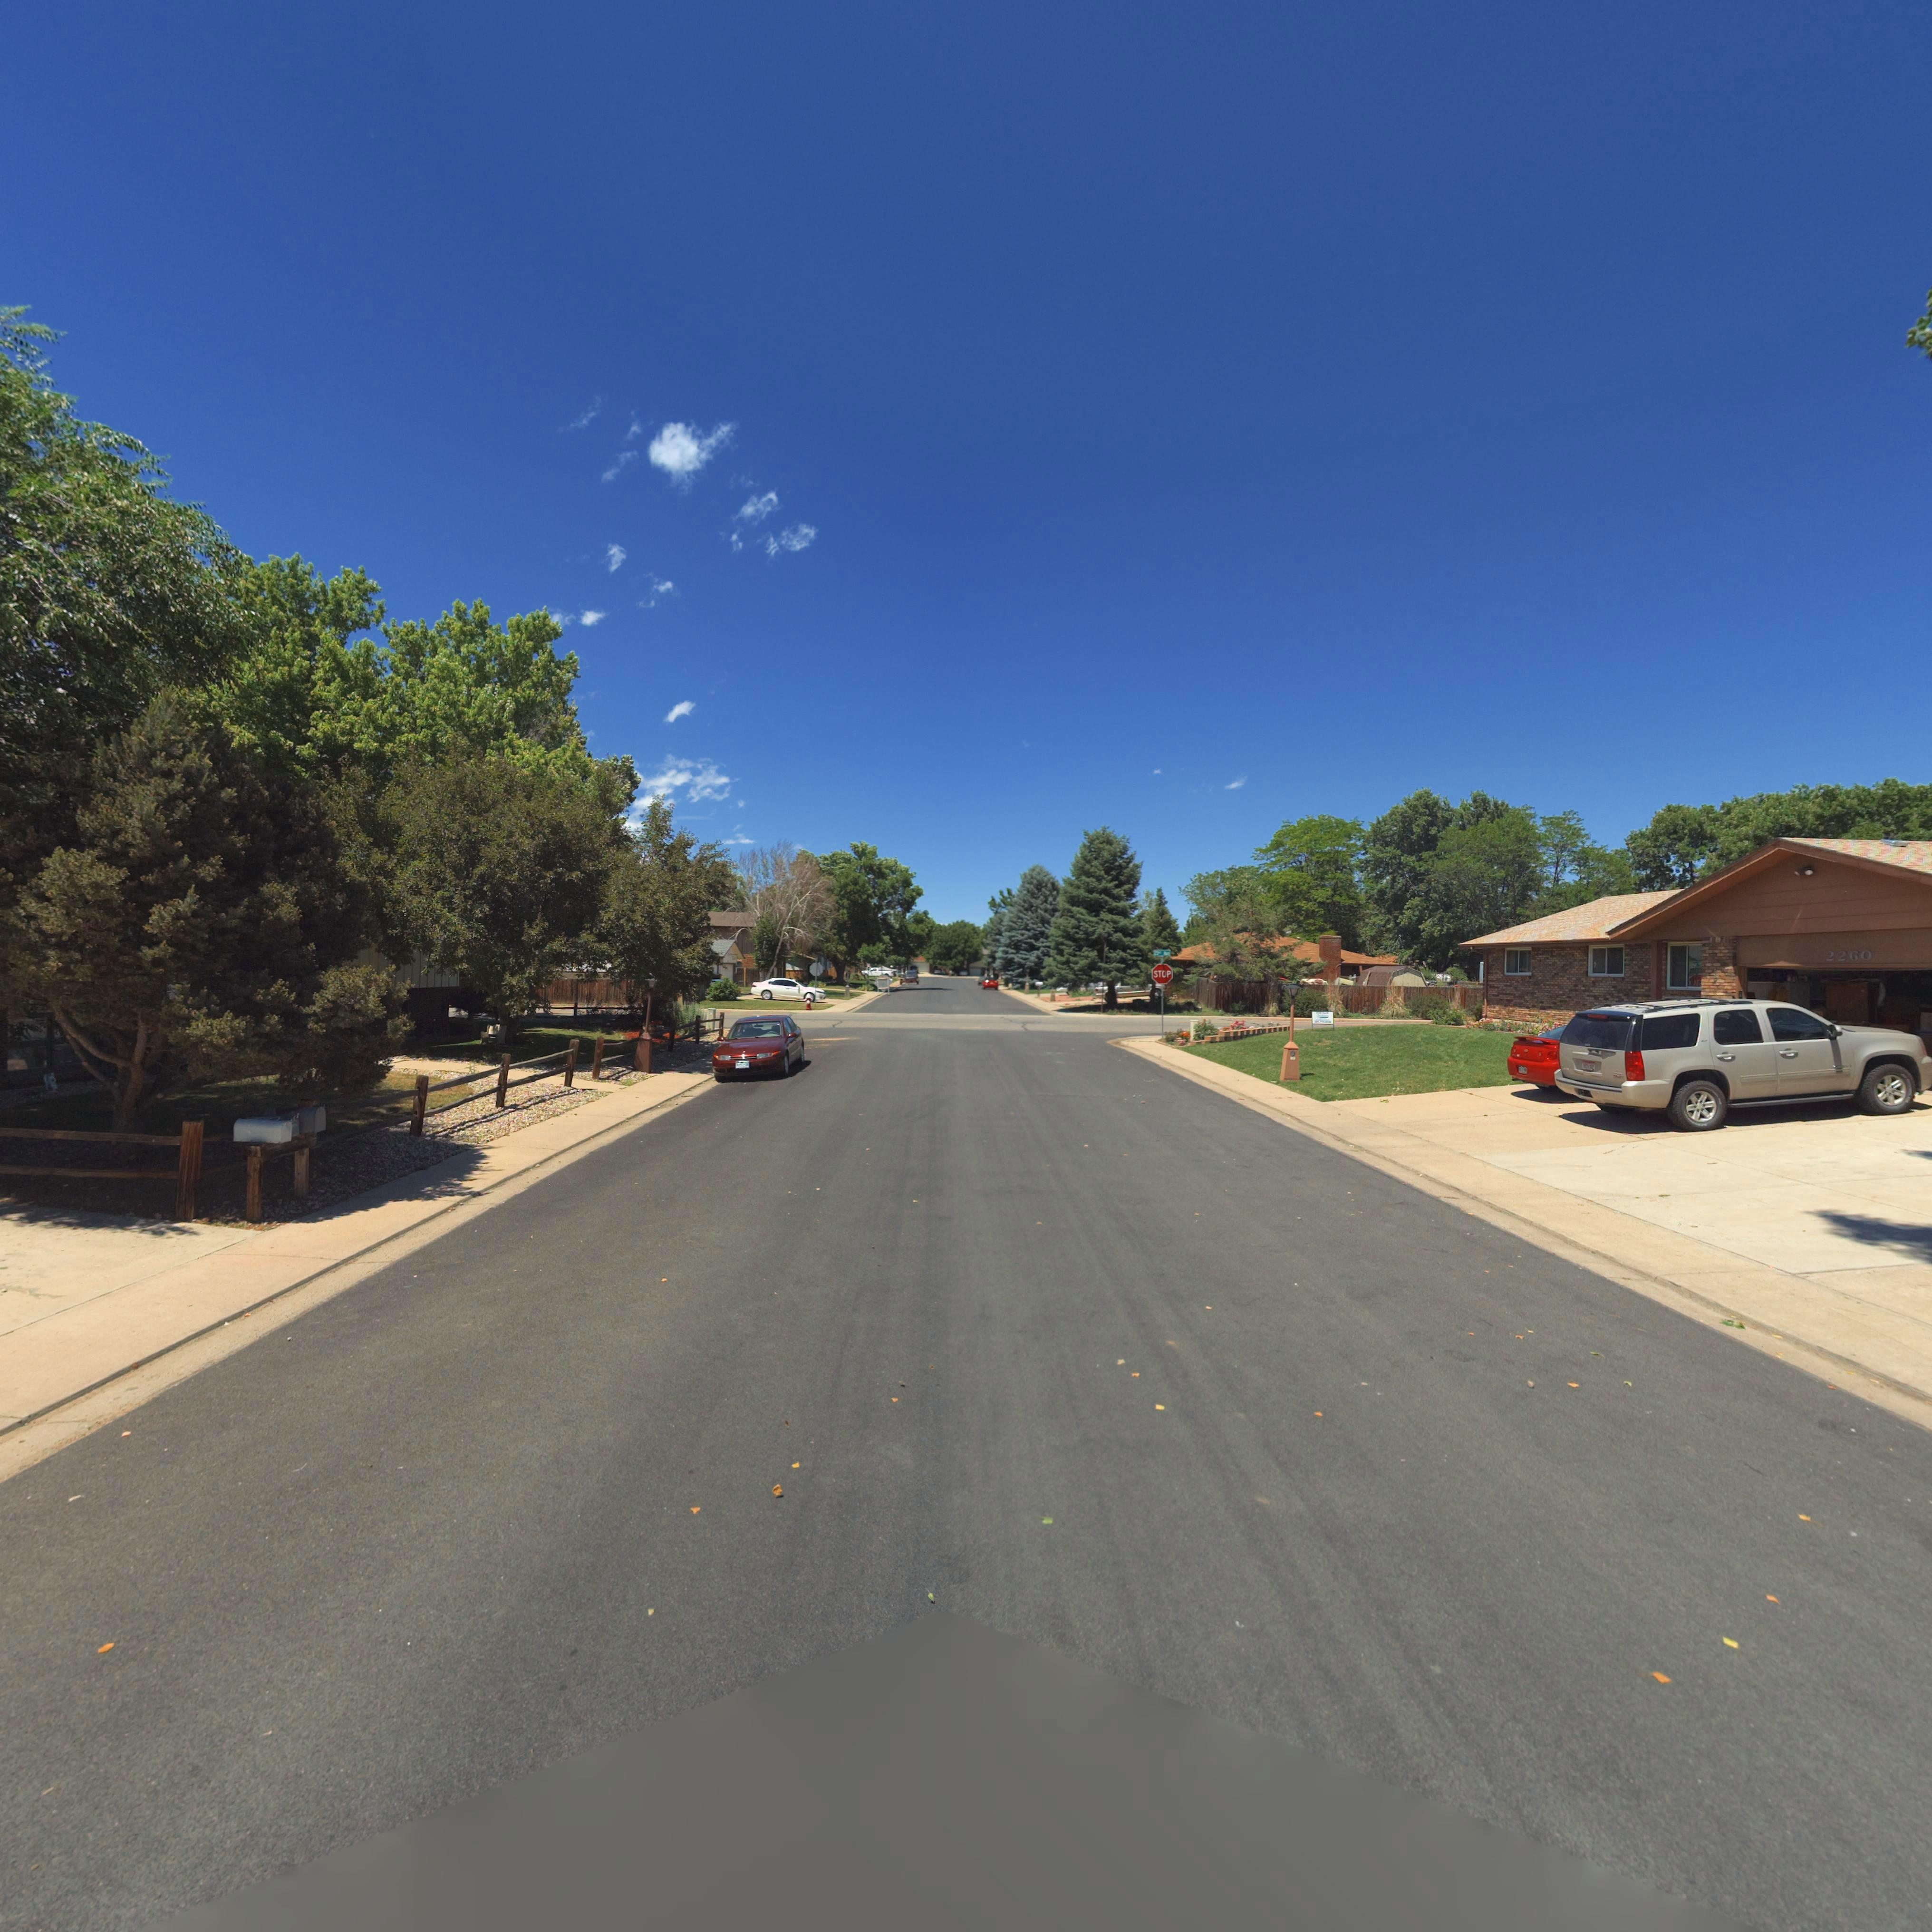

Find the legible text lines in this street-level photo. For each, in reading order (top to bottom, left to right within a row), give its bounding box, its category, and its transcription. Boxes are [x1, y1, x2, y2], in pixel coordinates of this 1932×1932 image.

[1153, 951, 1169, 955] StreetNumber: 23** A**
[1825, 950, 1873, 961] StreetNumber: 2260